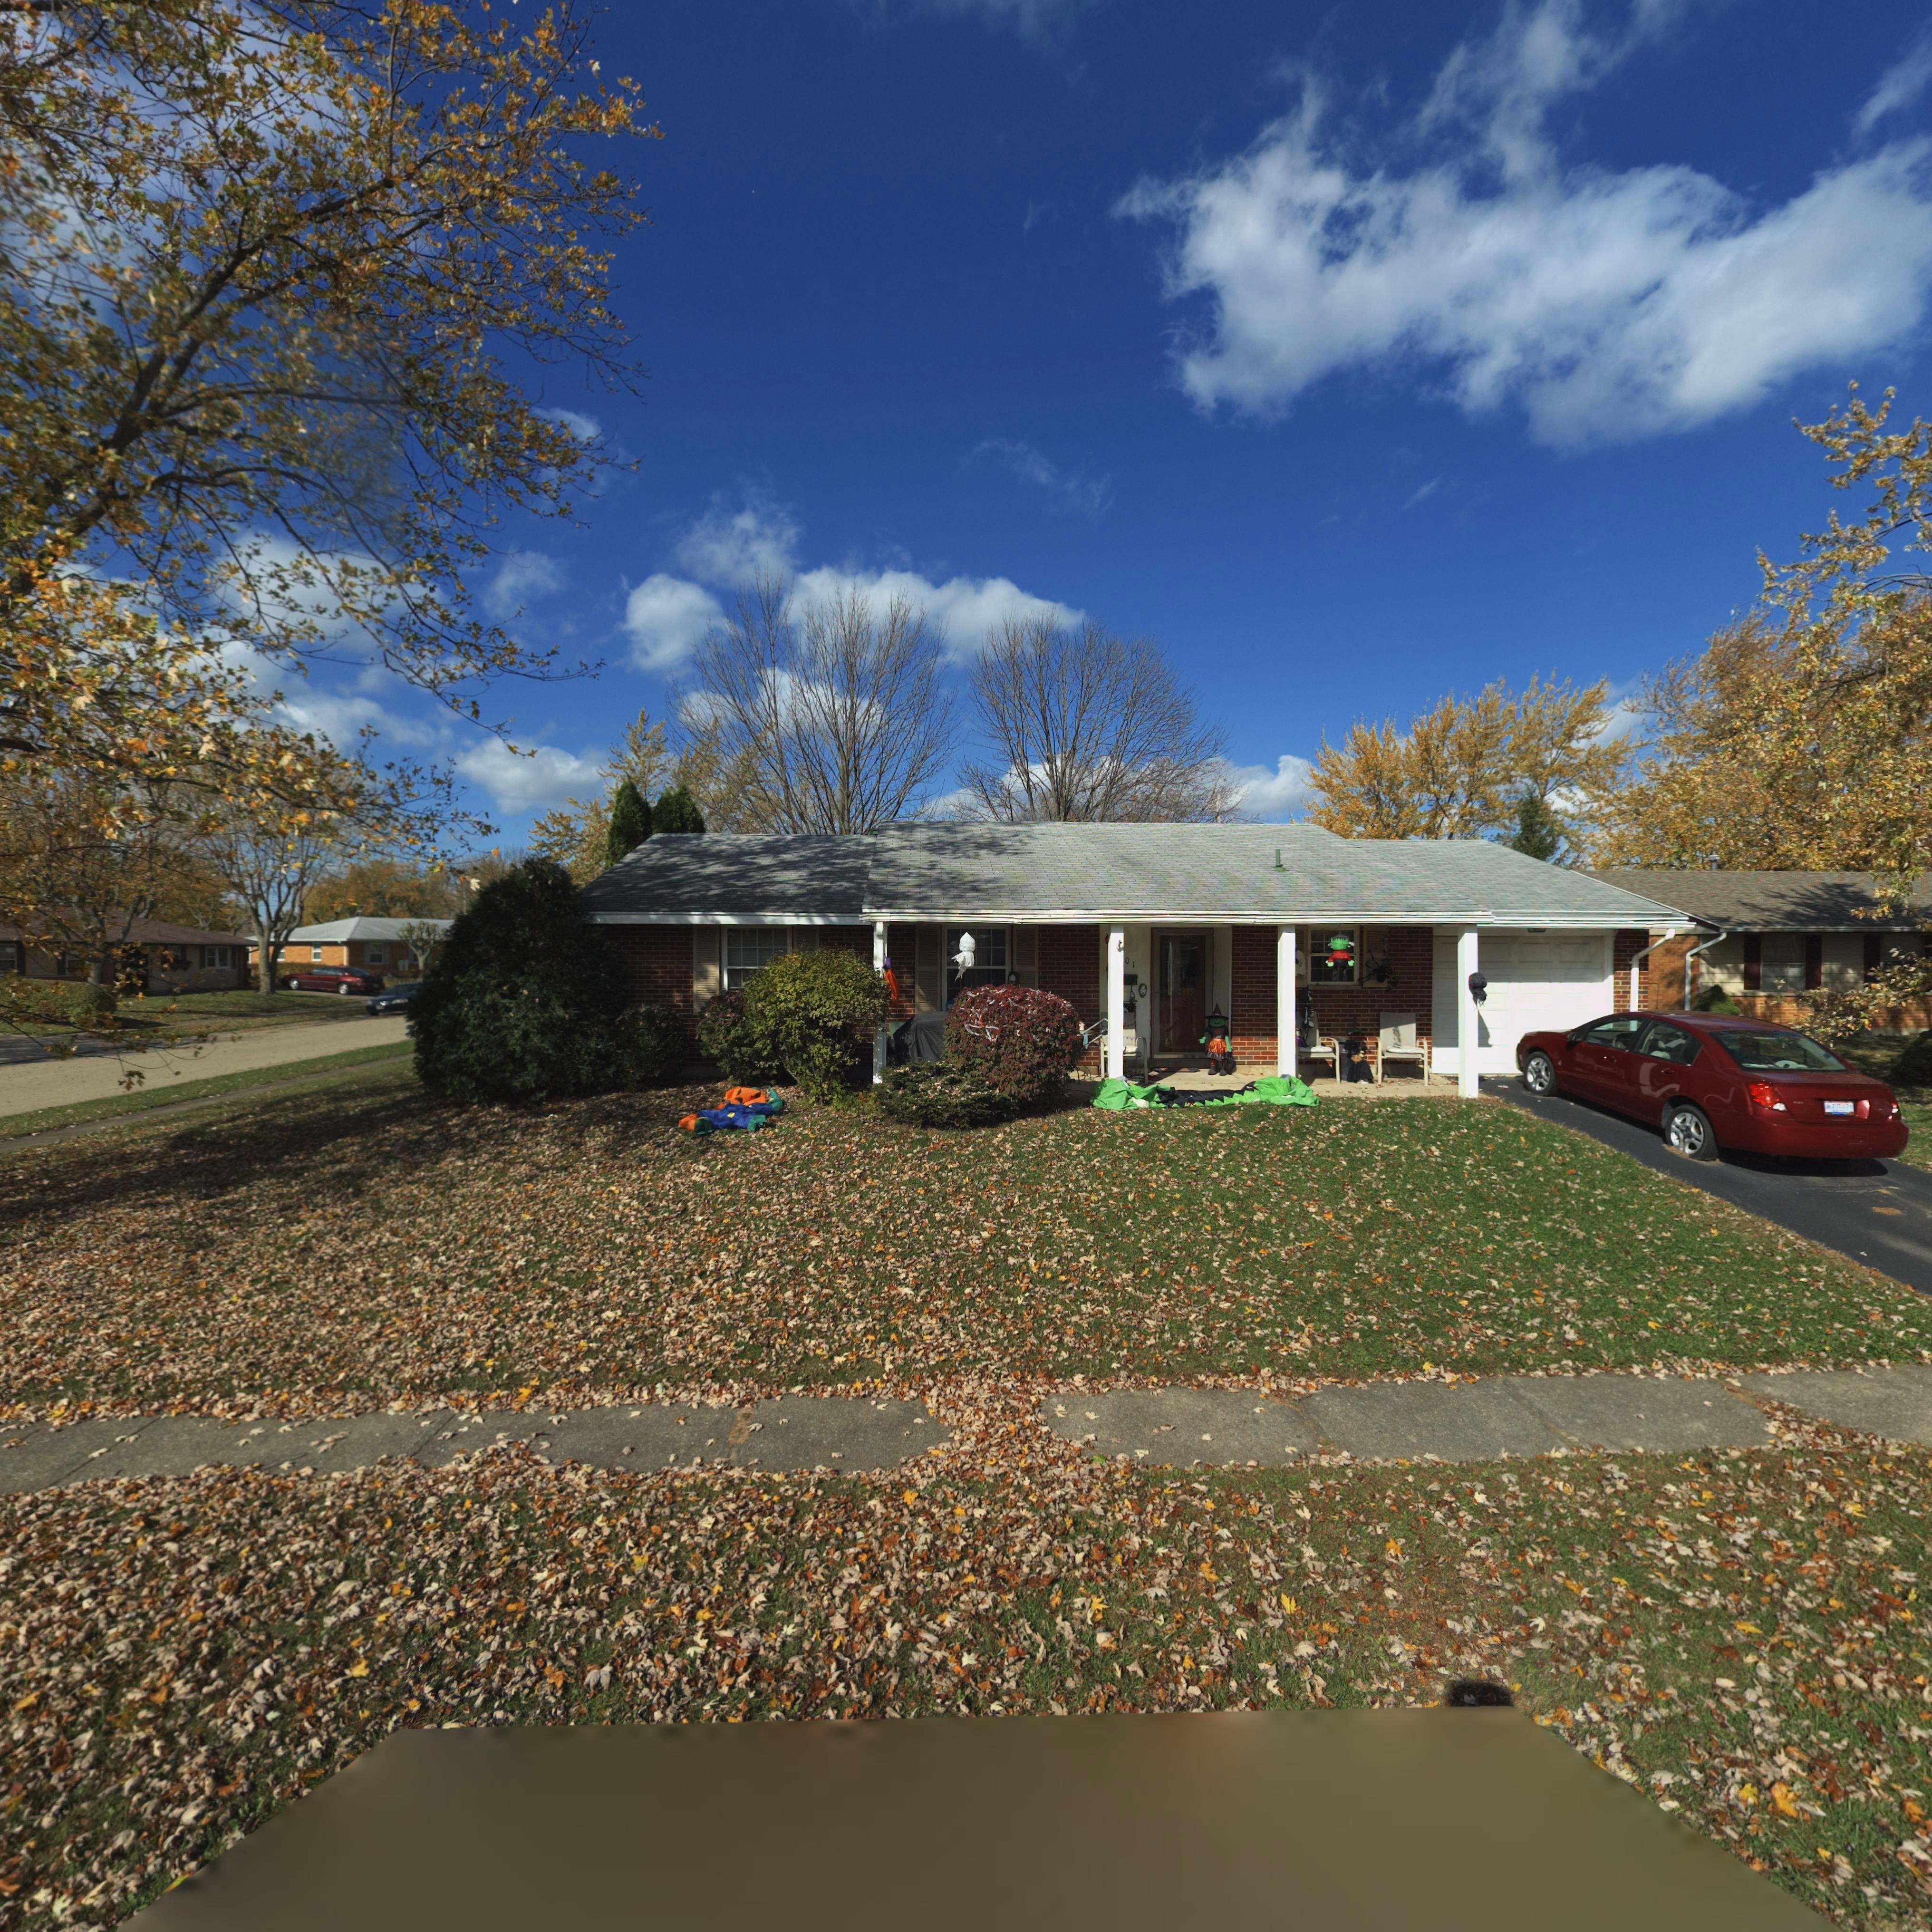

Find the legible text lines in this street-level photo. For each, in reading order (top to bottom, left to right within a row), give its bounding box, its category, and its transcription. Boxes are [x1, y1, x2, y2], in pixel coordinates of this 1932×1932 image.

[1124, 956, 1135, 969] StreetNumber: 01